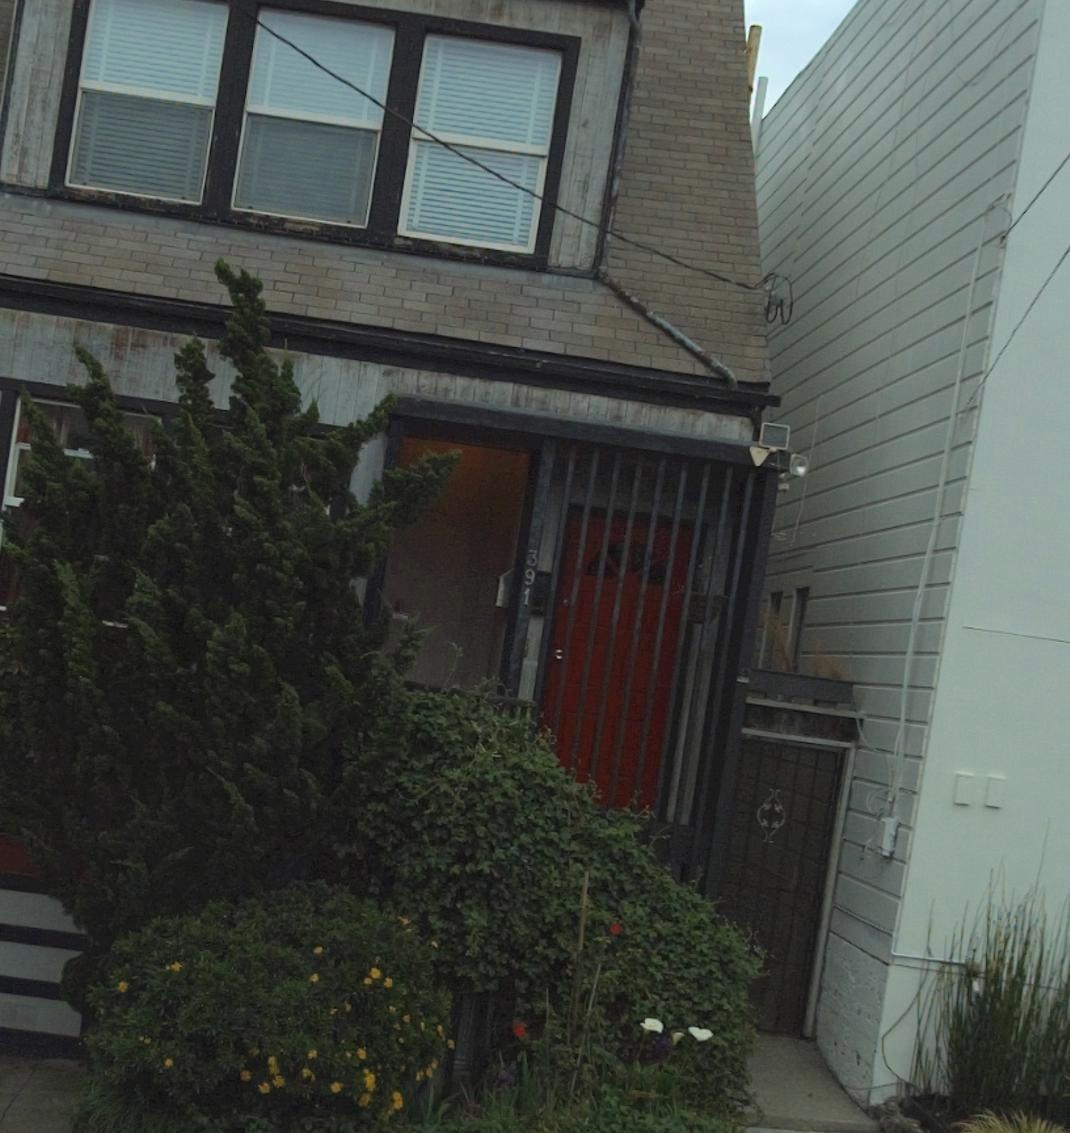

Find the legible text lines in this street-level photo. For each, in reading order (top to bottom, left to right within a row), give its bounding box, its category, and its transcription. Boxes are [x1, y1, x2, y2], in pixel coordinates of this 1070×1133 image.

[522, 548, 539, 607] StreetNumber: 391